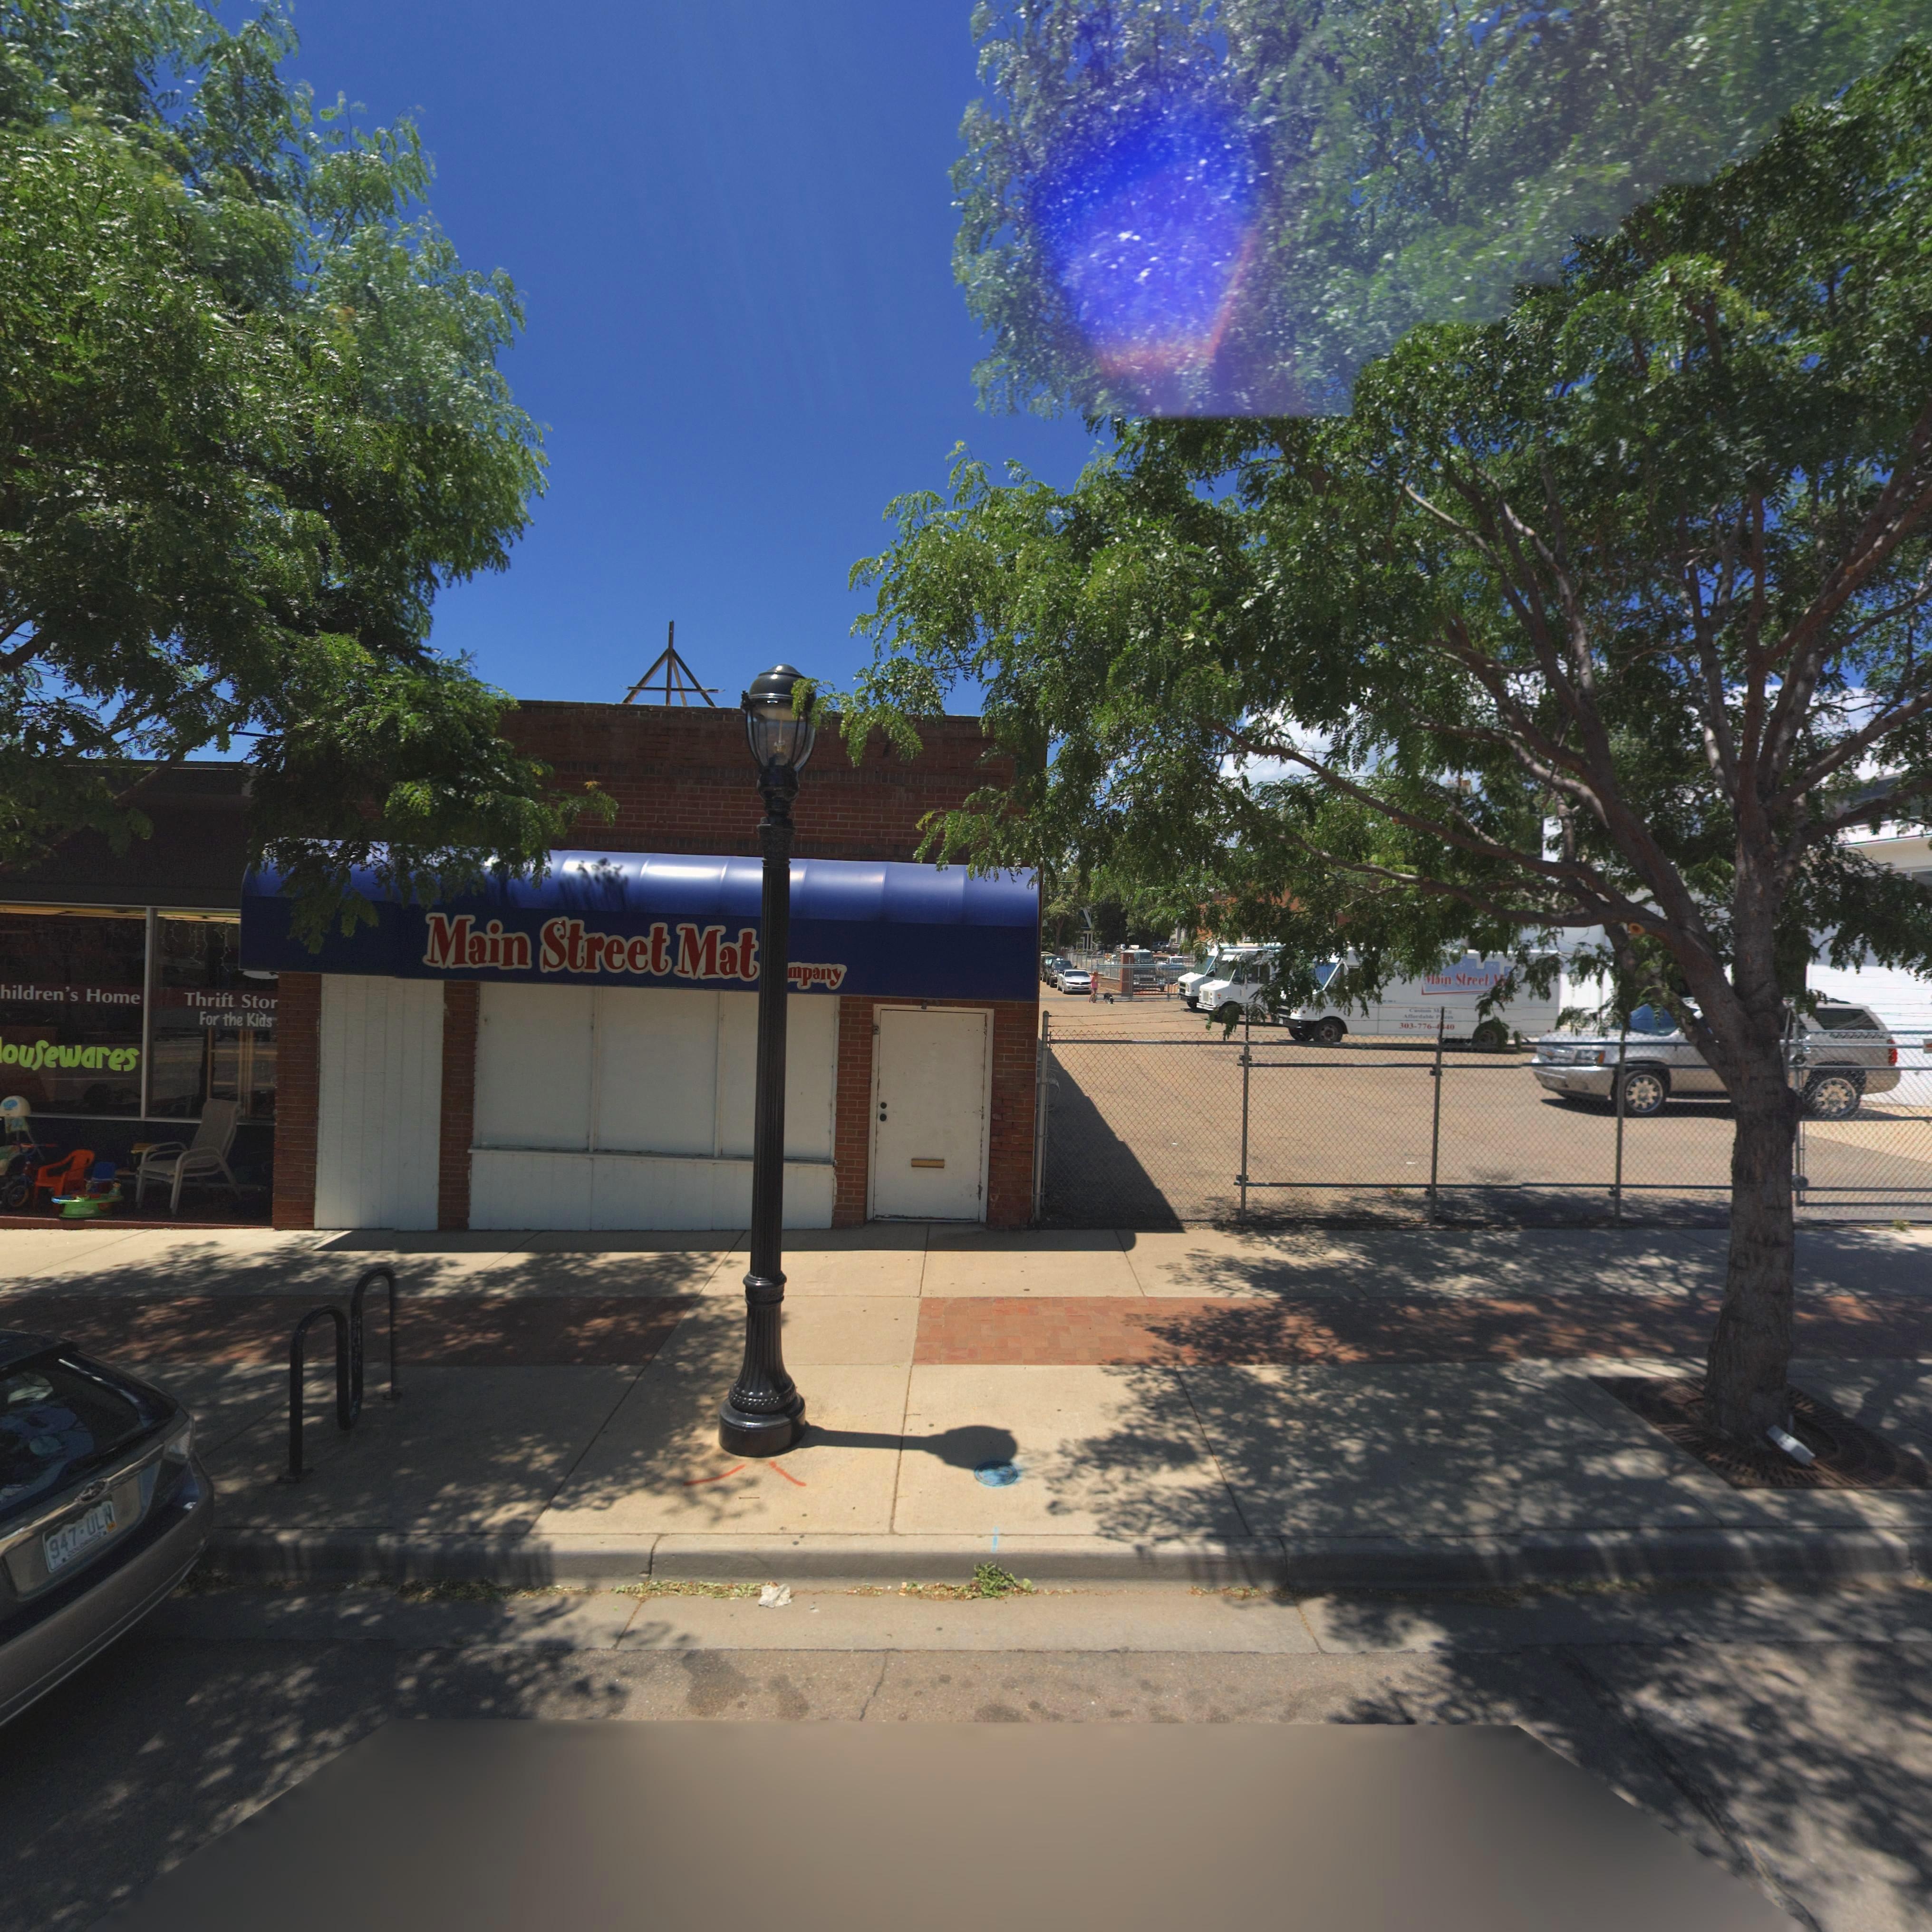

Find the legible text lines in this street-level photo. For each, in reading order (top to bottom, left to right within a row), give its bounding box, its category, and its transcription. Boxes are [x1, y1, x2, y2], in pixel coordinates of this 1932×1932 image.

[419, 909, 850, 989] BusinessName: Main Street Mat **mpany
[184, 991, 279, 1009] BusinessName: Thrift Stor